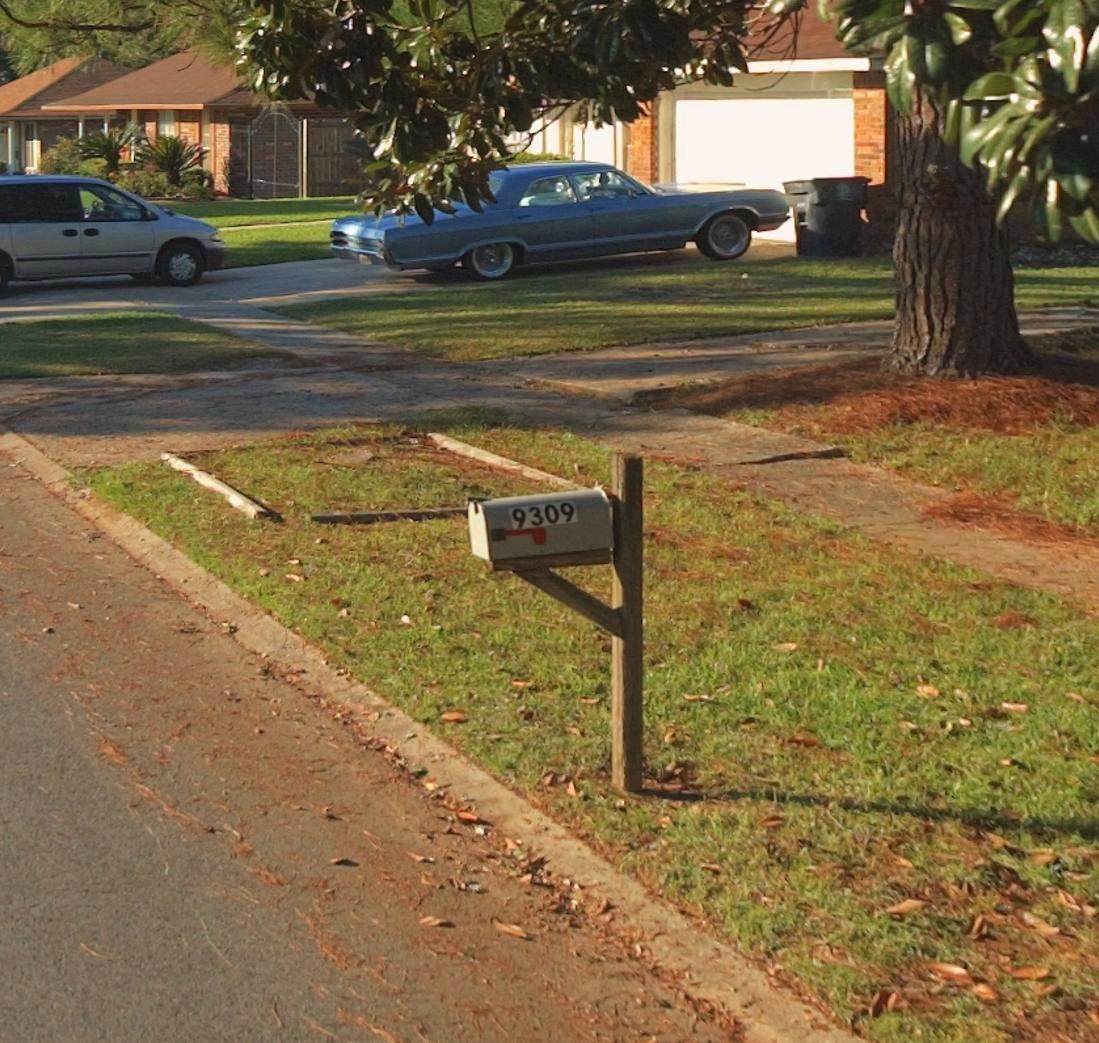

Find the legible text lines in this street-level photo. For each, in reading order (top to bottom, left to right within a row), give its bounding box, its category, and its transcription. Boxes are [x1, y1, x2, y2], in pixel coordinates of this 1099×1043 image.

[510, 501, 577, 530] StreetNumber: 9309